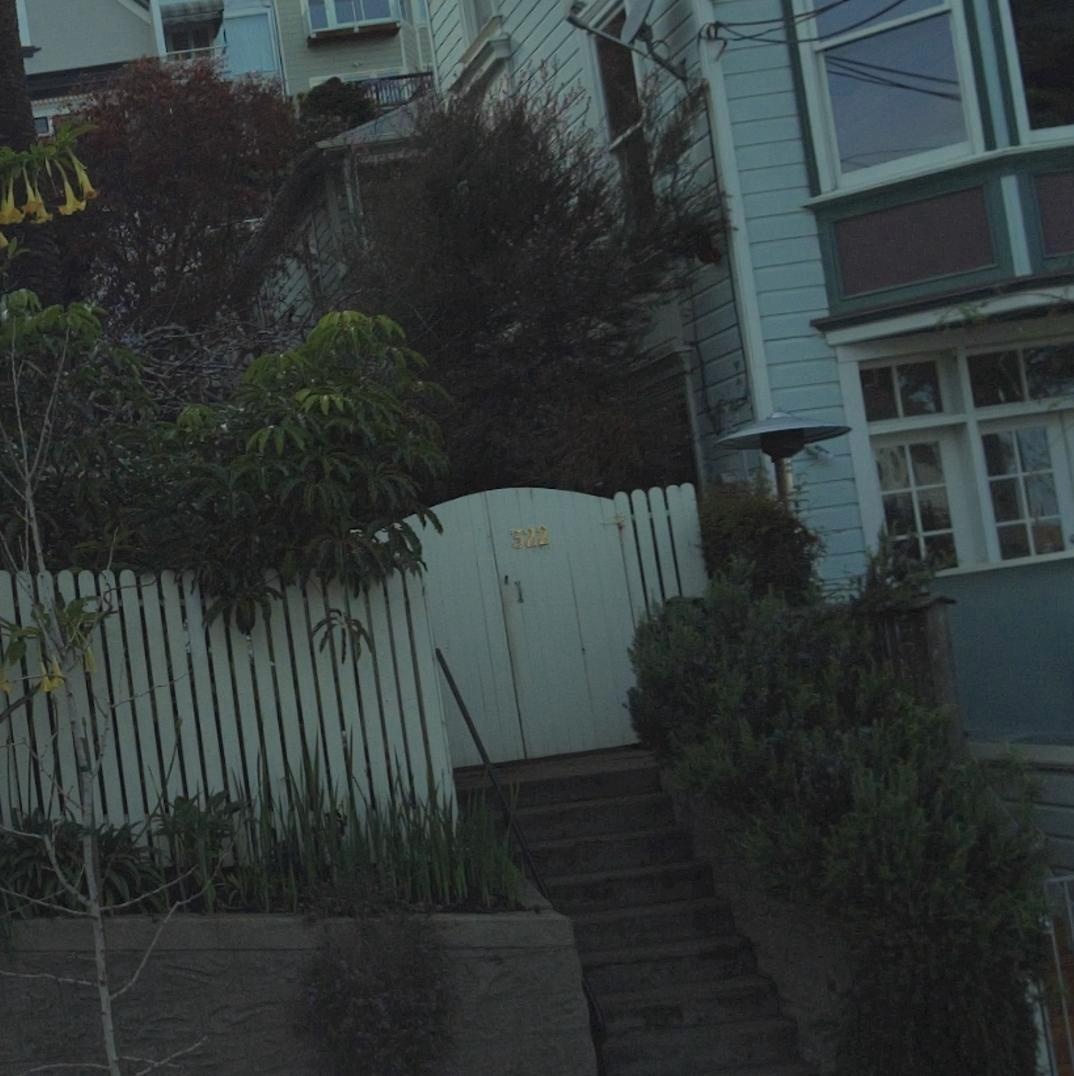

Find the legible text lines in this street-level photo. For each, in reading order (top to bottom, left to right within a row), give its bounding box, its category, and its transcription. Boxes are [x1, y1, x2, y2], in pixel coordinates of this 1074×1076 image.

[509, 524, 552, 550] StreetNumber: 322